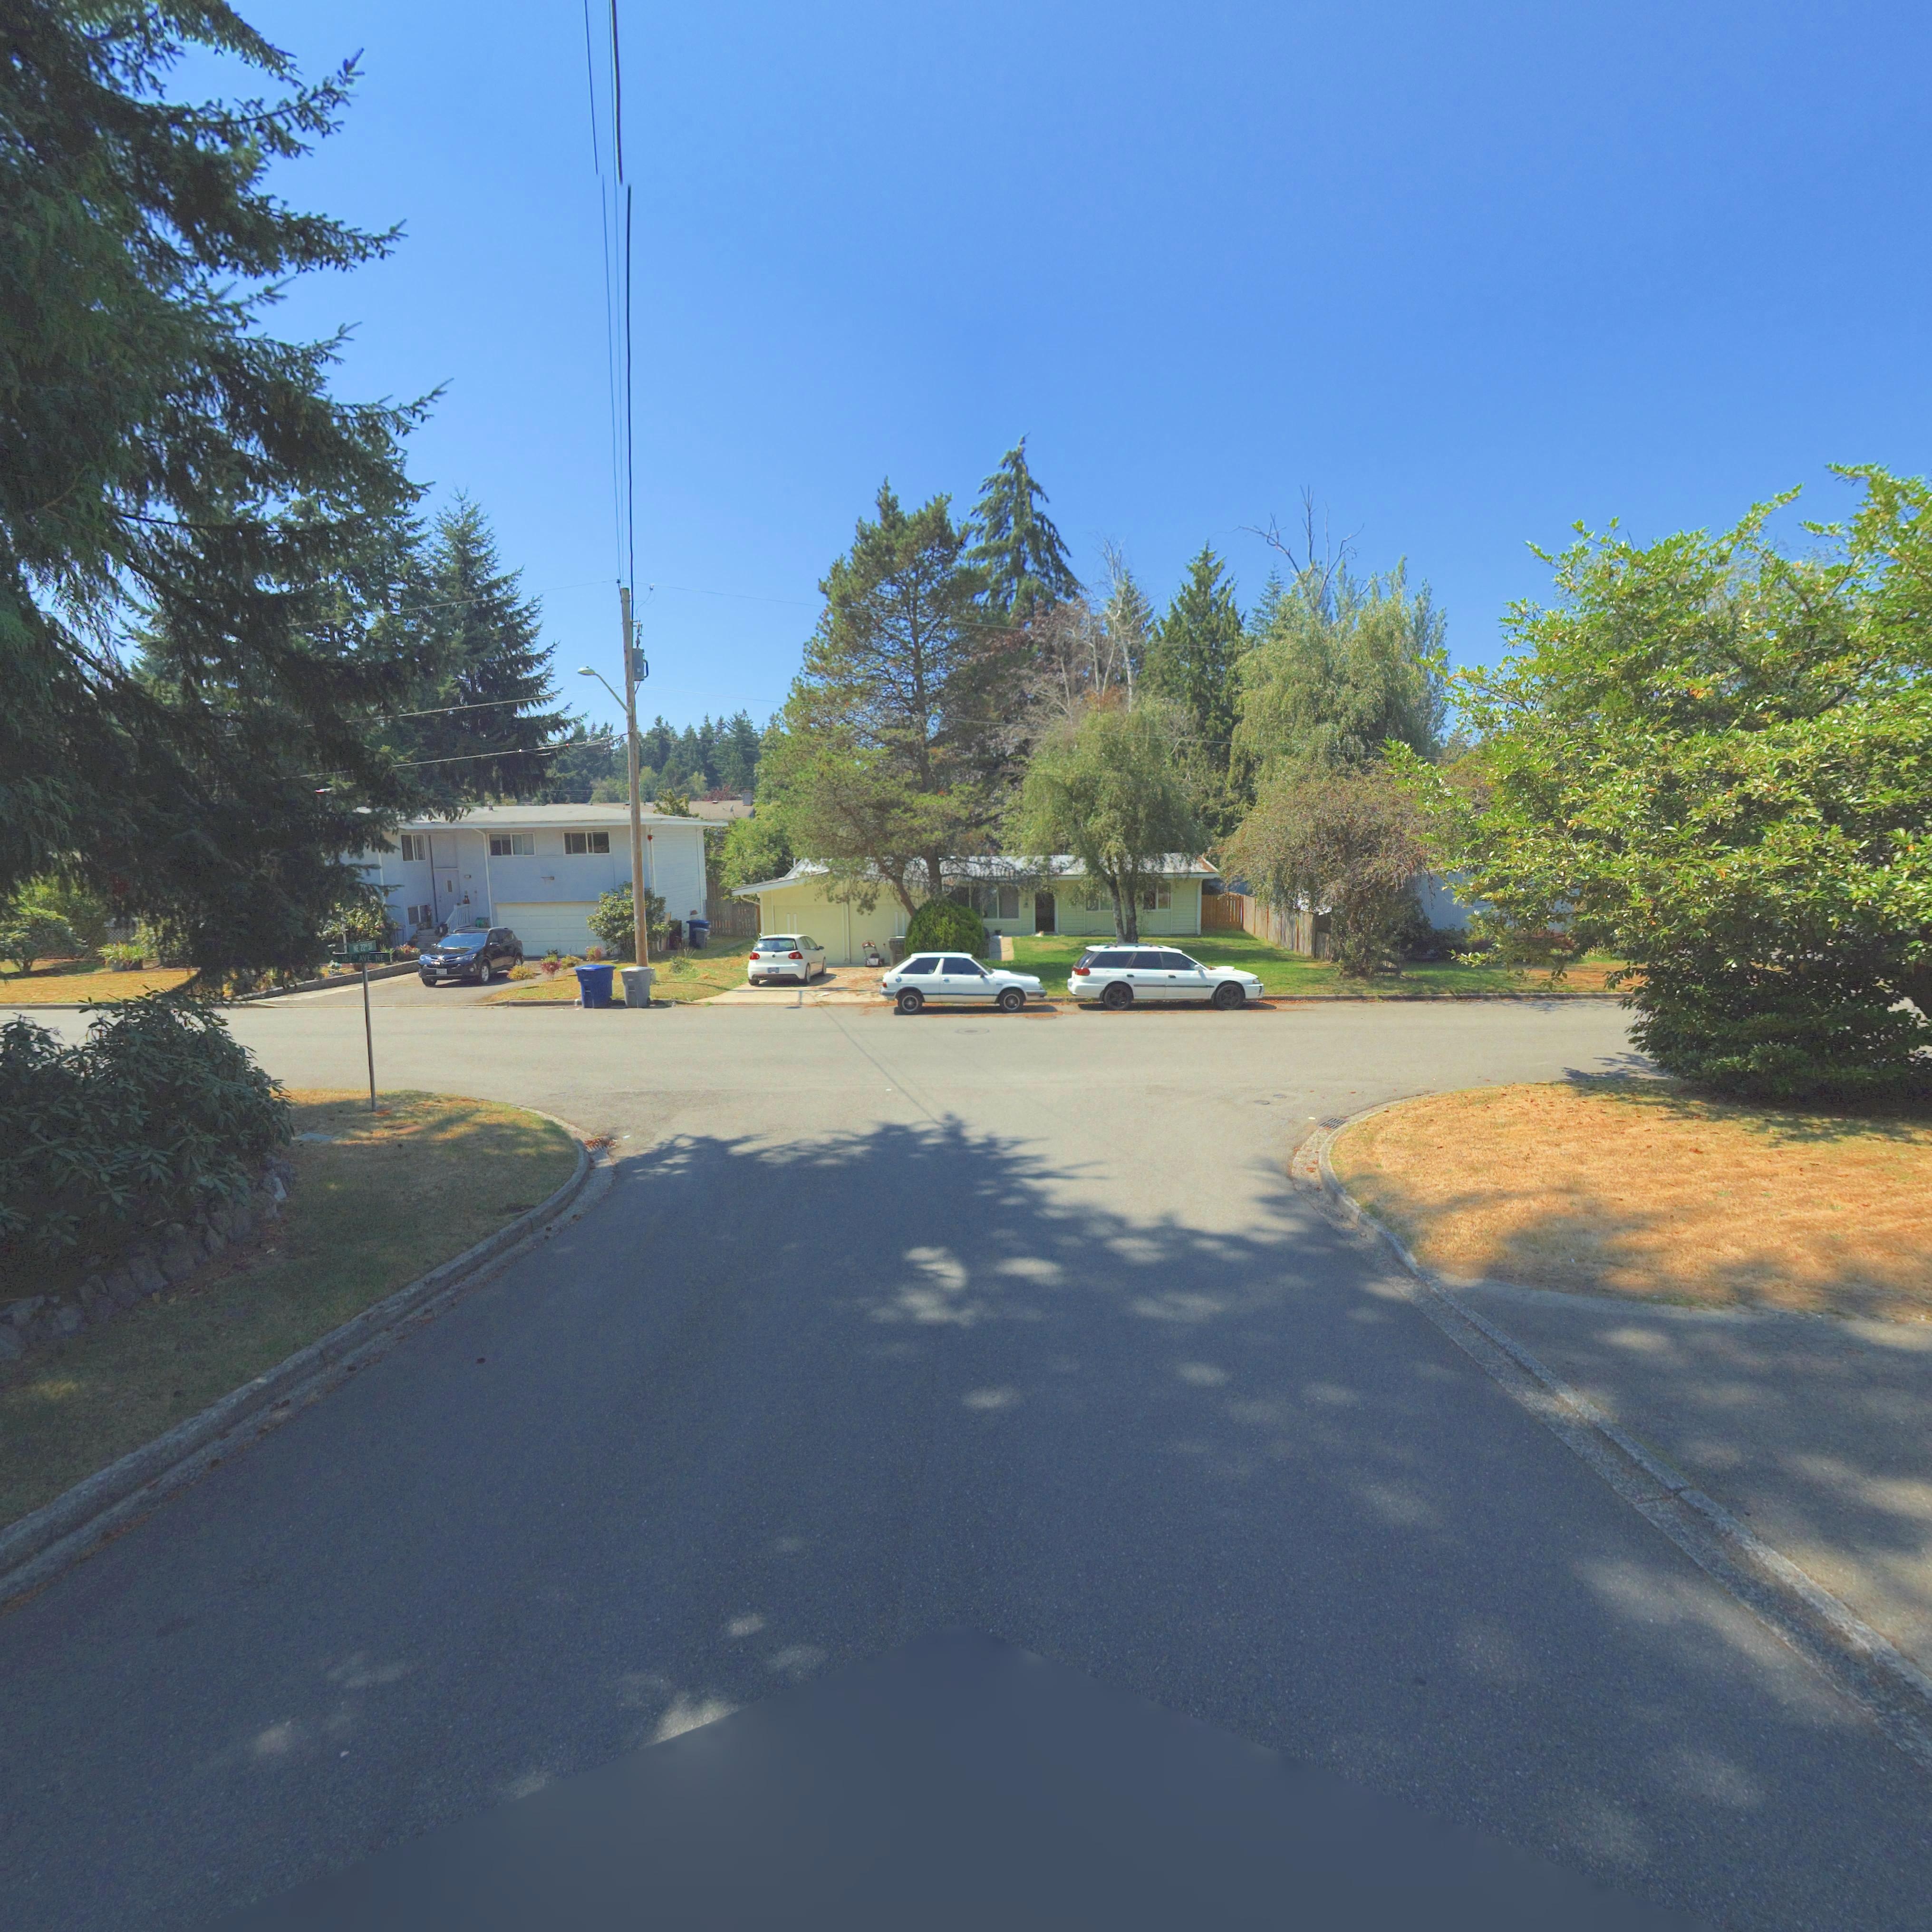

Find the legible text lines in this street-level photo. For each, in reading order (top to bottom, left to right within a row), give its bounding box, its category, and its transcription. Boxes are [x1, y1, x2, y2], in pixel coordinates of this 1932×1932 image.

[353, 941, 373, 953] StreetNumber: *E 22** ST
[342, 954, 384, 961] StreetName: 167 AVE NE